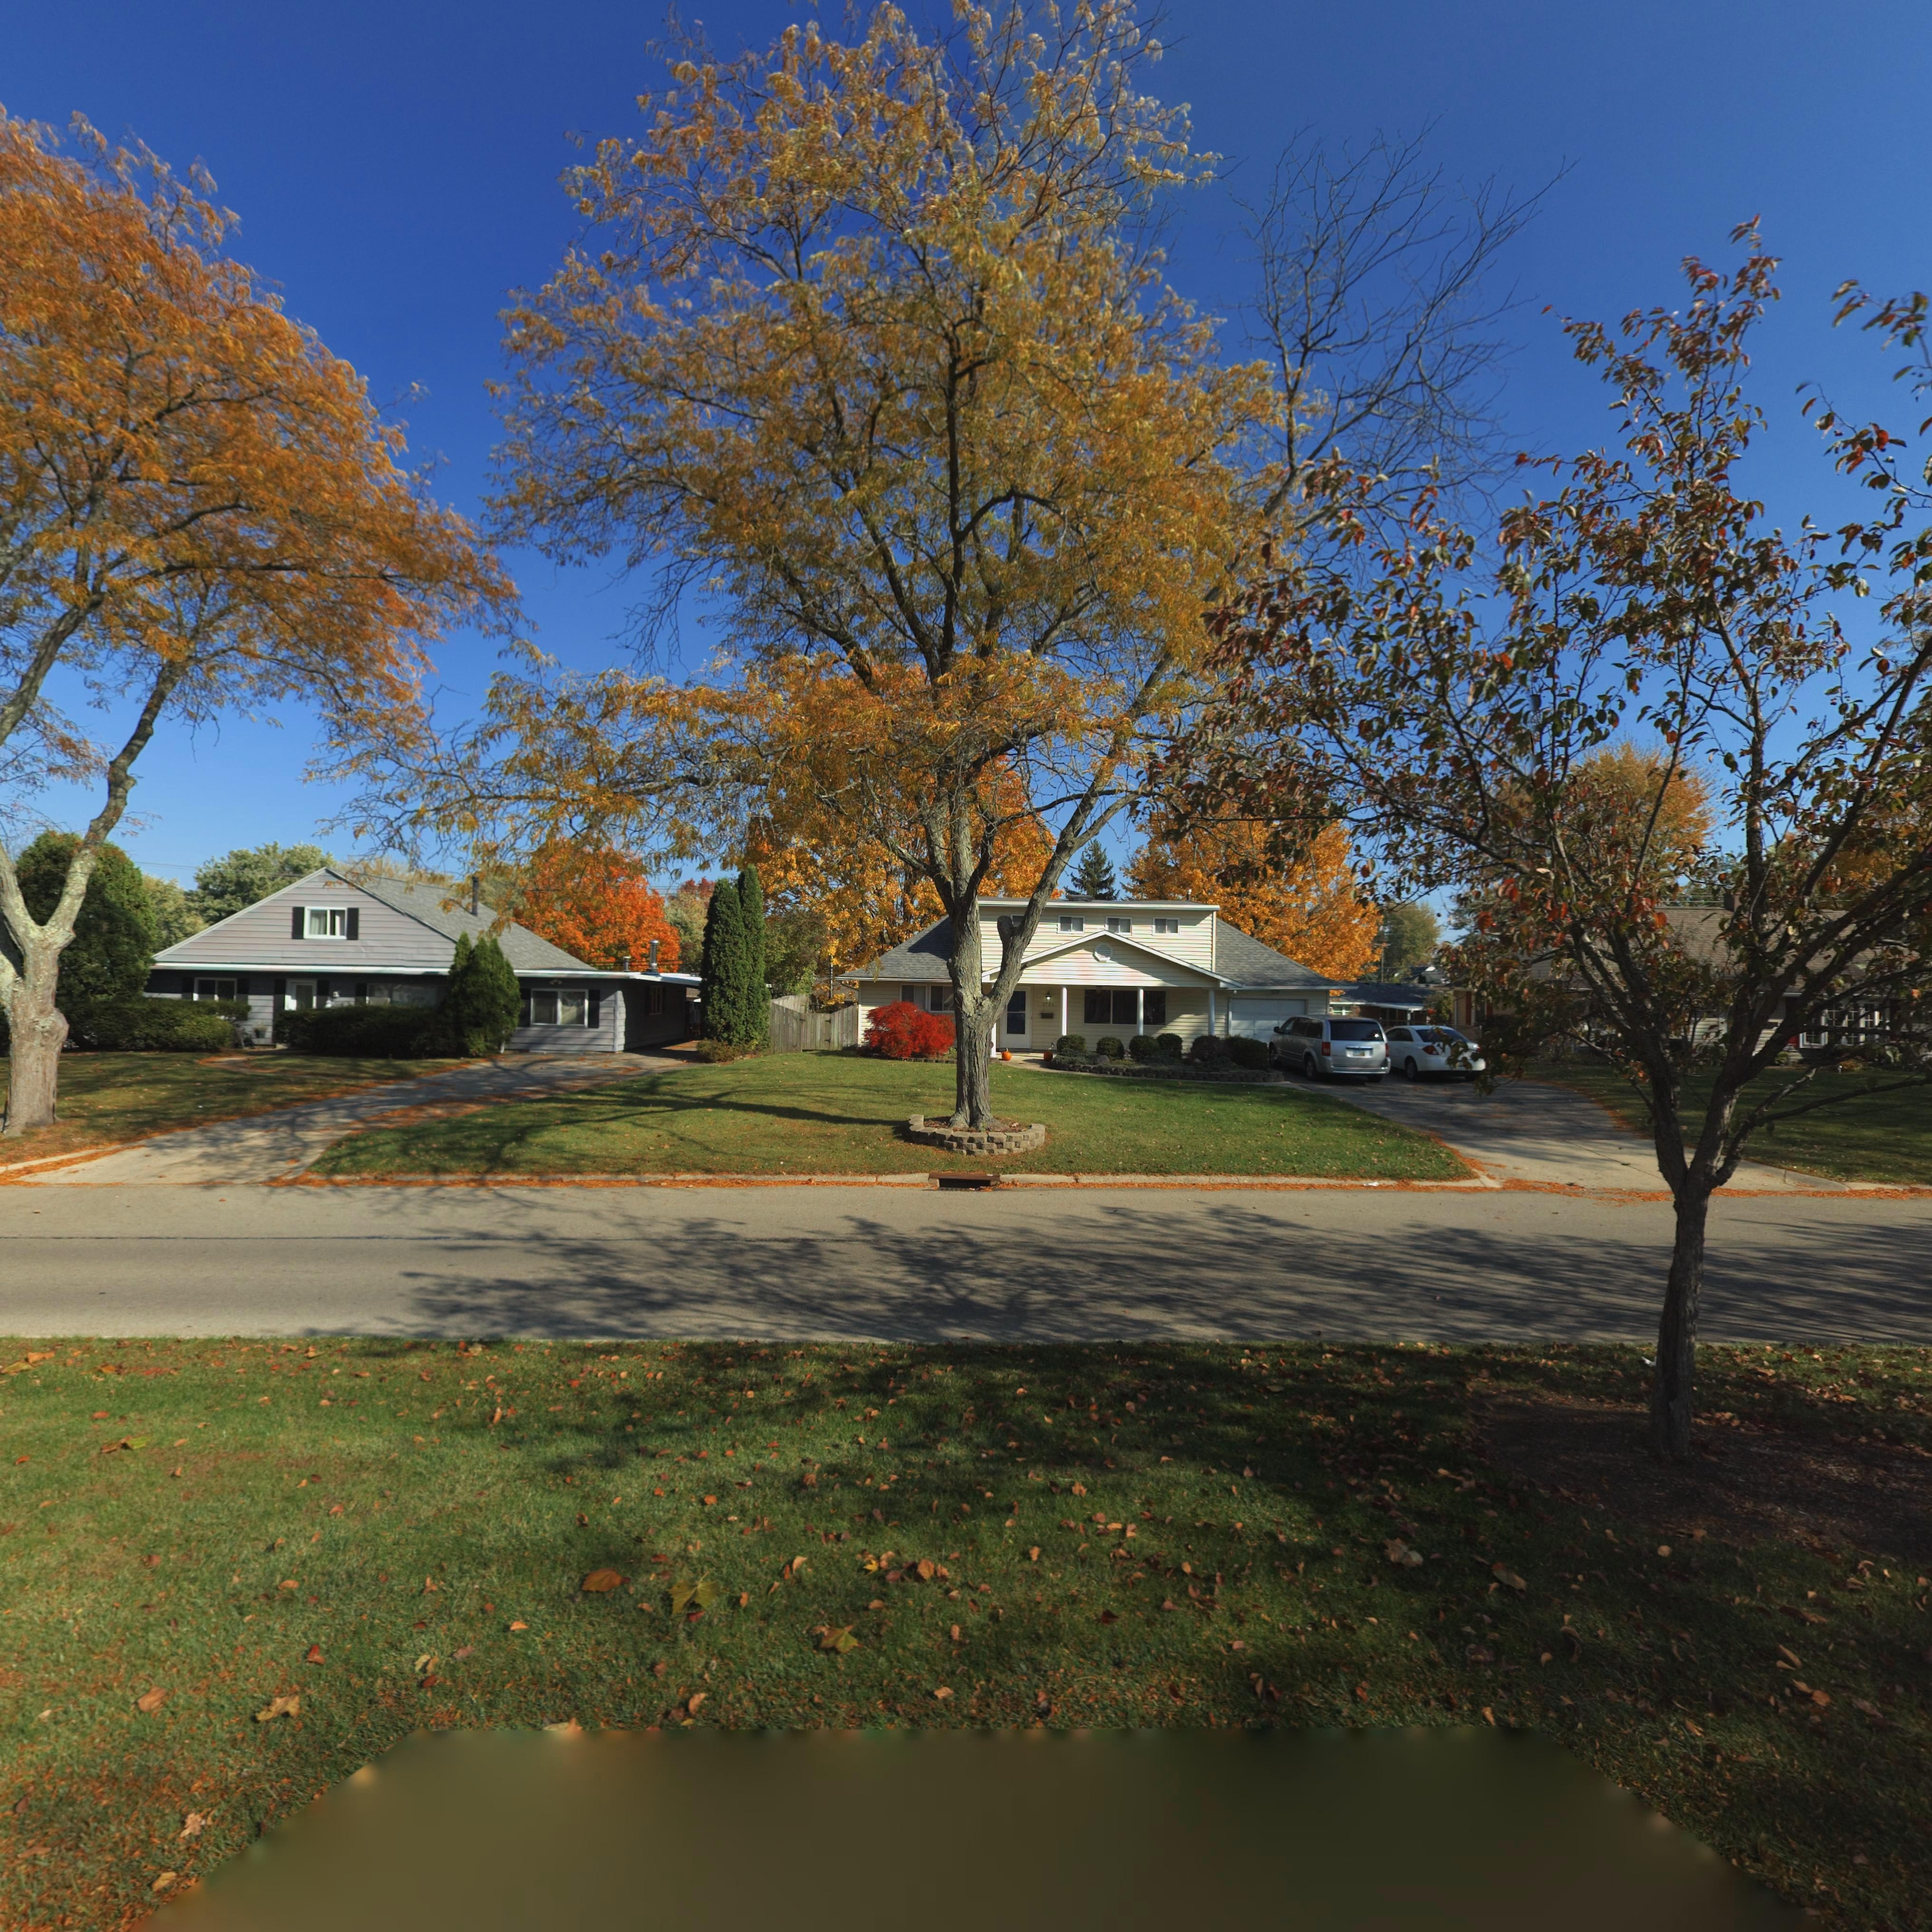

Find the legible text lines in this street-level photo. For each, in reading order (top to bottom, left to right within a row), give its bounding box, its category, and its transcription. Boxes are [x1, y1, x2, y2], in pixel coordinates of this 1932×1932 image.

[1041, 1002, 1055, 1007] StreetNumber: 3724